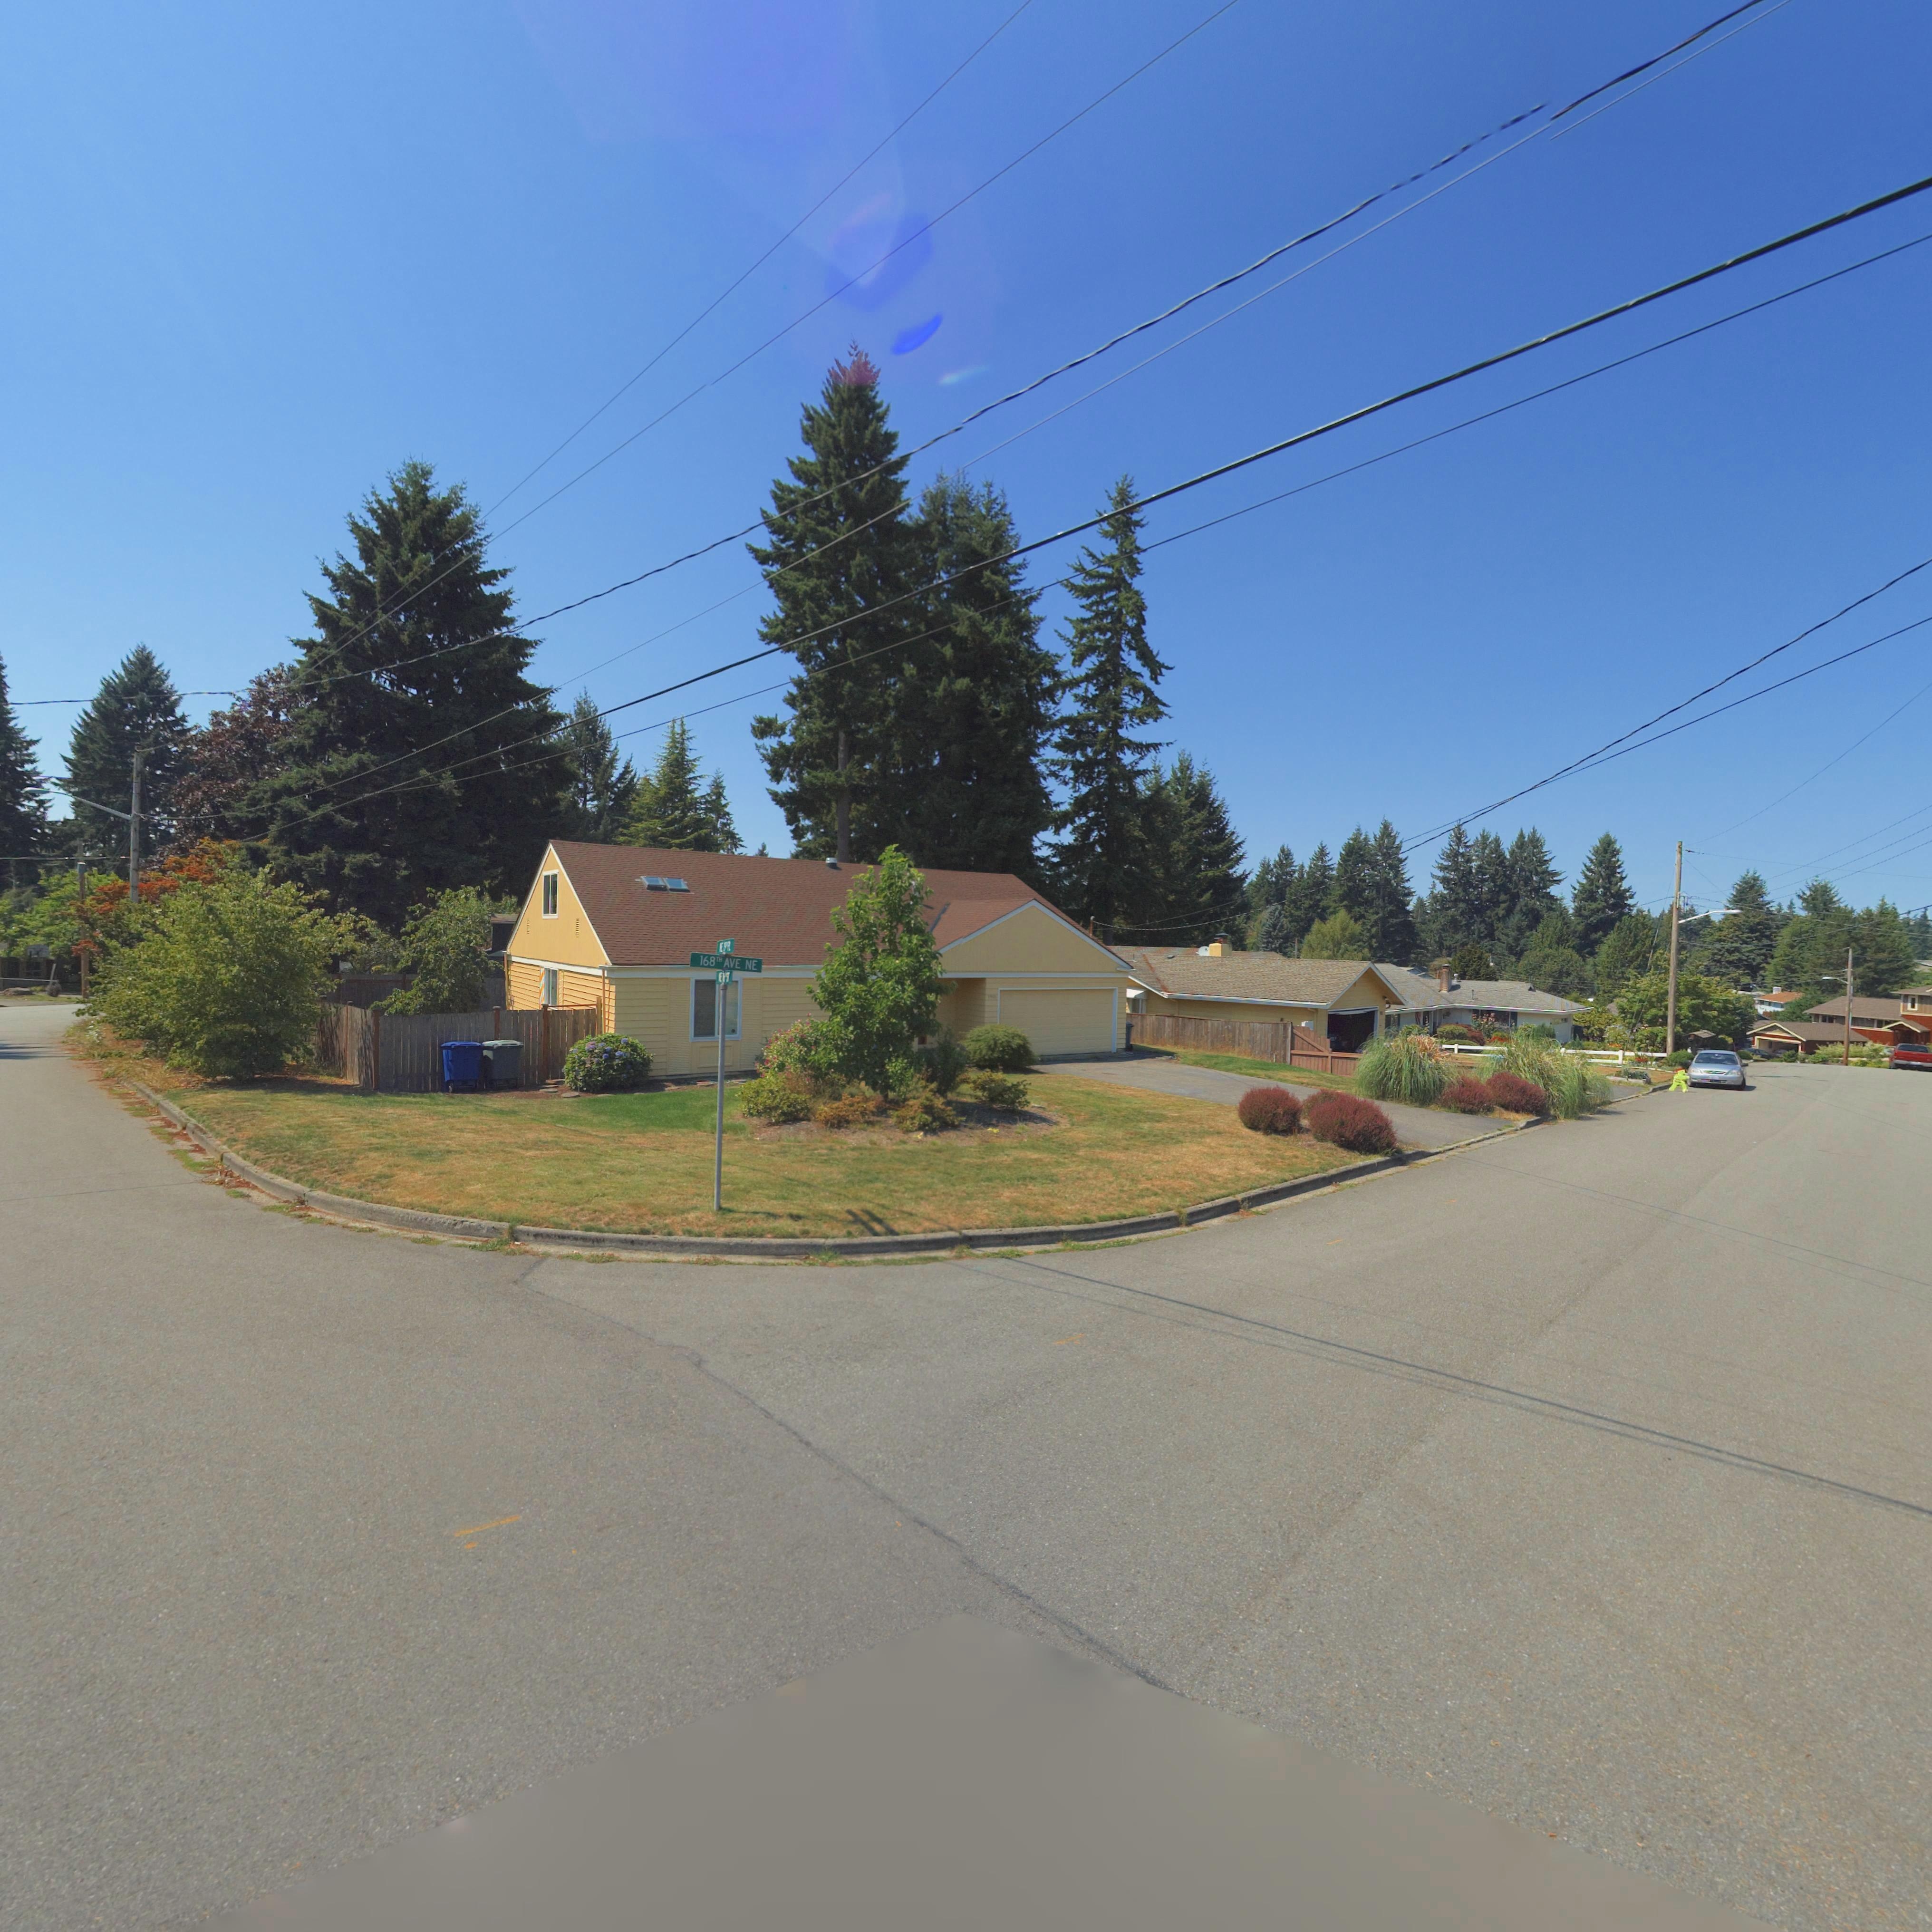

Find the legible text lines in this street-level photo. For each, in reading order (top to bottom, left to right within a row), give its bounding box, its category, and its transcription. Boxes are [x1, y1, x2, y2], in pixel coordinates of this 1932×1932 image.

[698, 955, 758, 970] StreetName: 168TH AVE NE